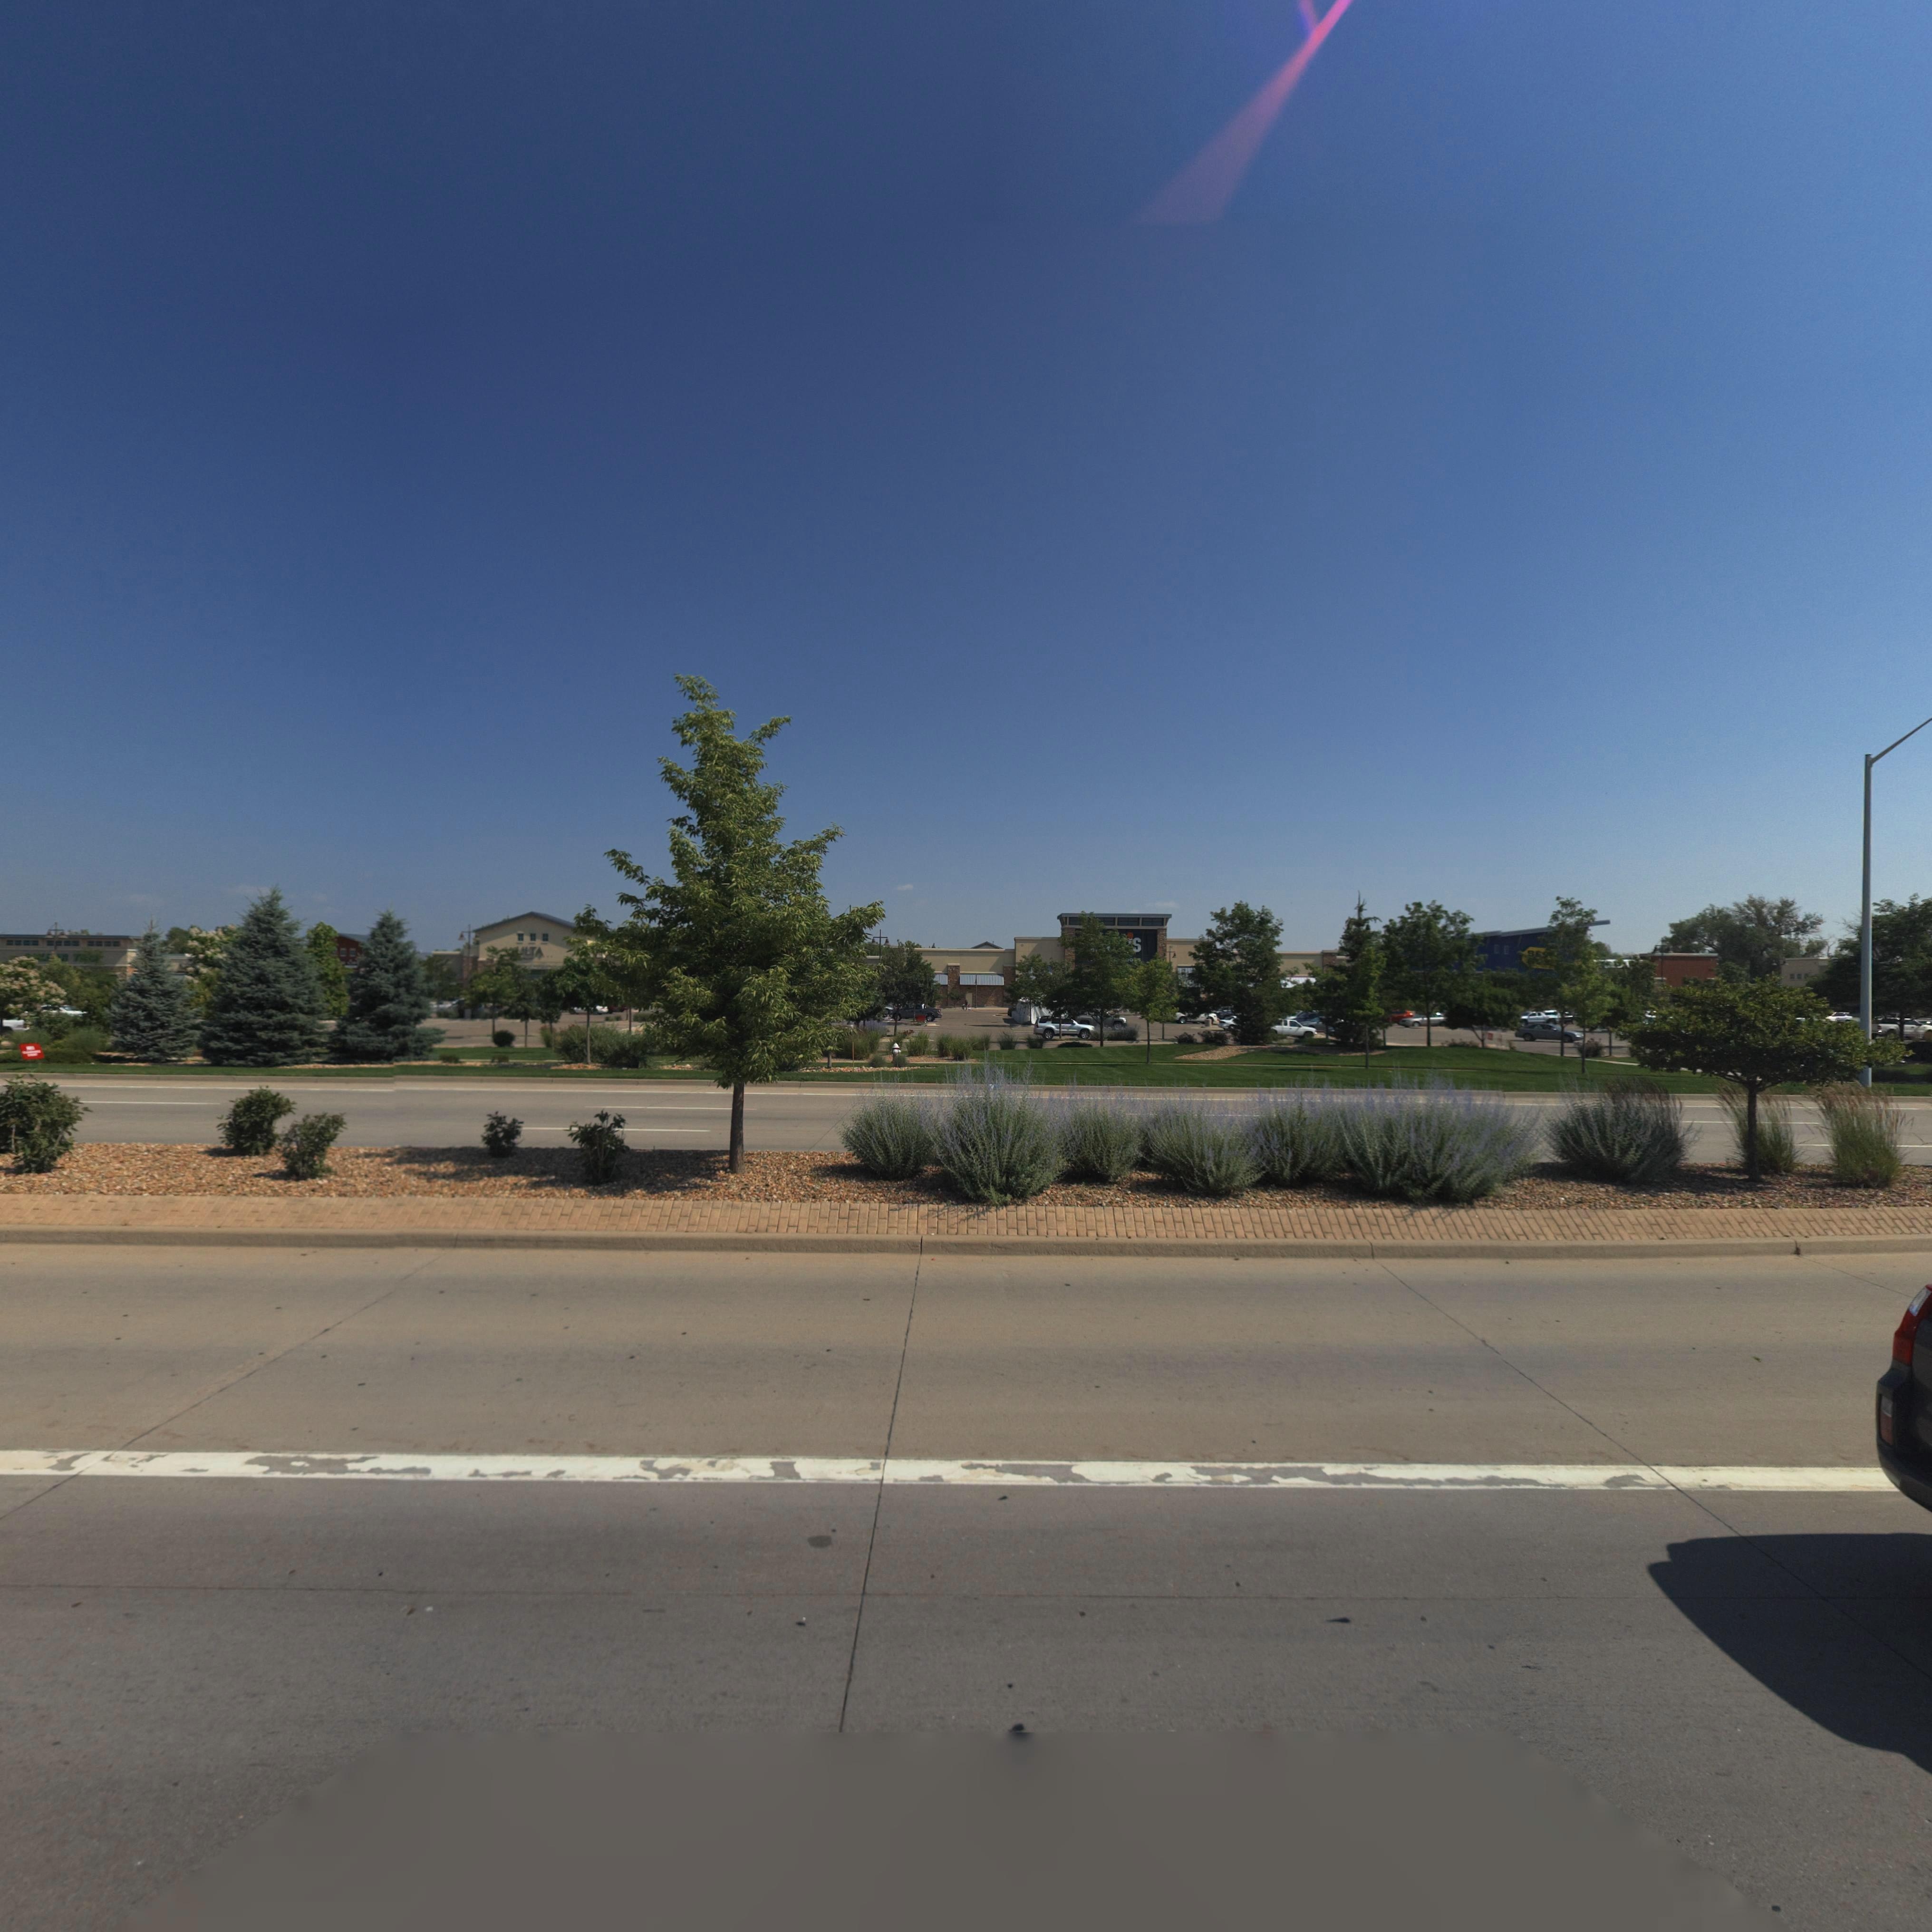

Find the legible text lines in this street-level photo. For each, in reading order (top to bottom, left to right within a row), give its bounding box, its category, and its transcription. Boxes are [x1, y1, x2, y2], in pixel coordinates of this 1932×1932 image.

[1089, 931, 1142, 953] BusinessName: ****'S
[22, 952, 101, 963] BusinessName: **L**R T***
[515, 946, 544, 957] BusinessName: ULTA
[1121, 957, 1134, 962] BusinessName: *OO
[1527, 950, 1555, 959] BusinessName: BES*